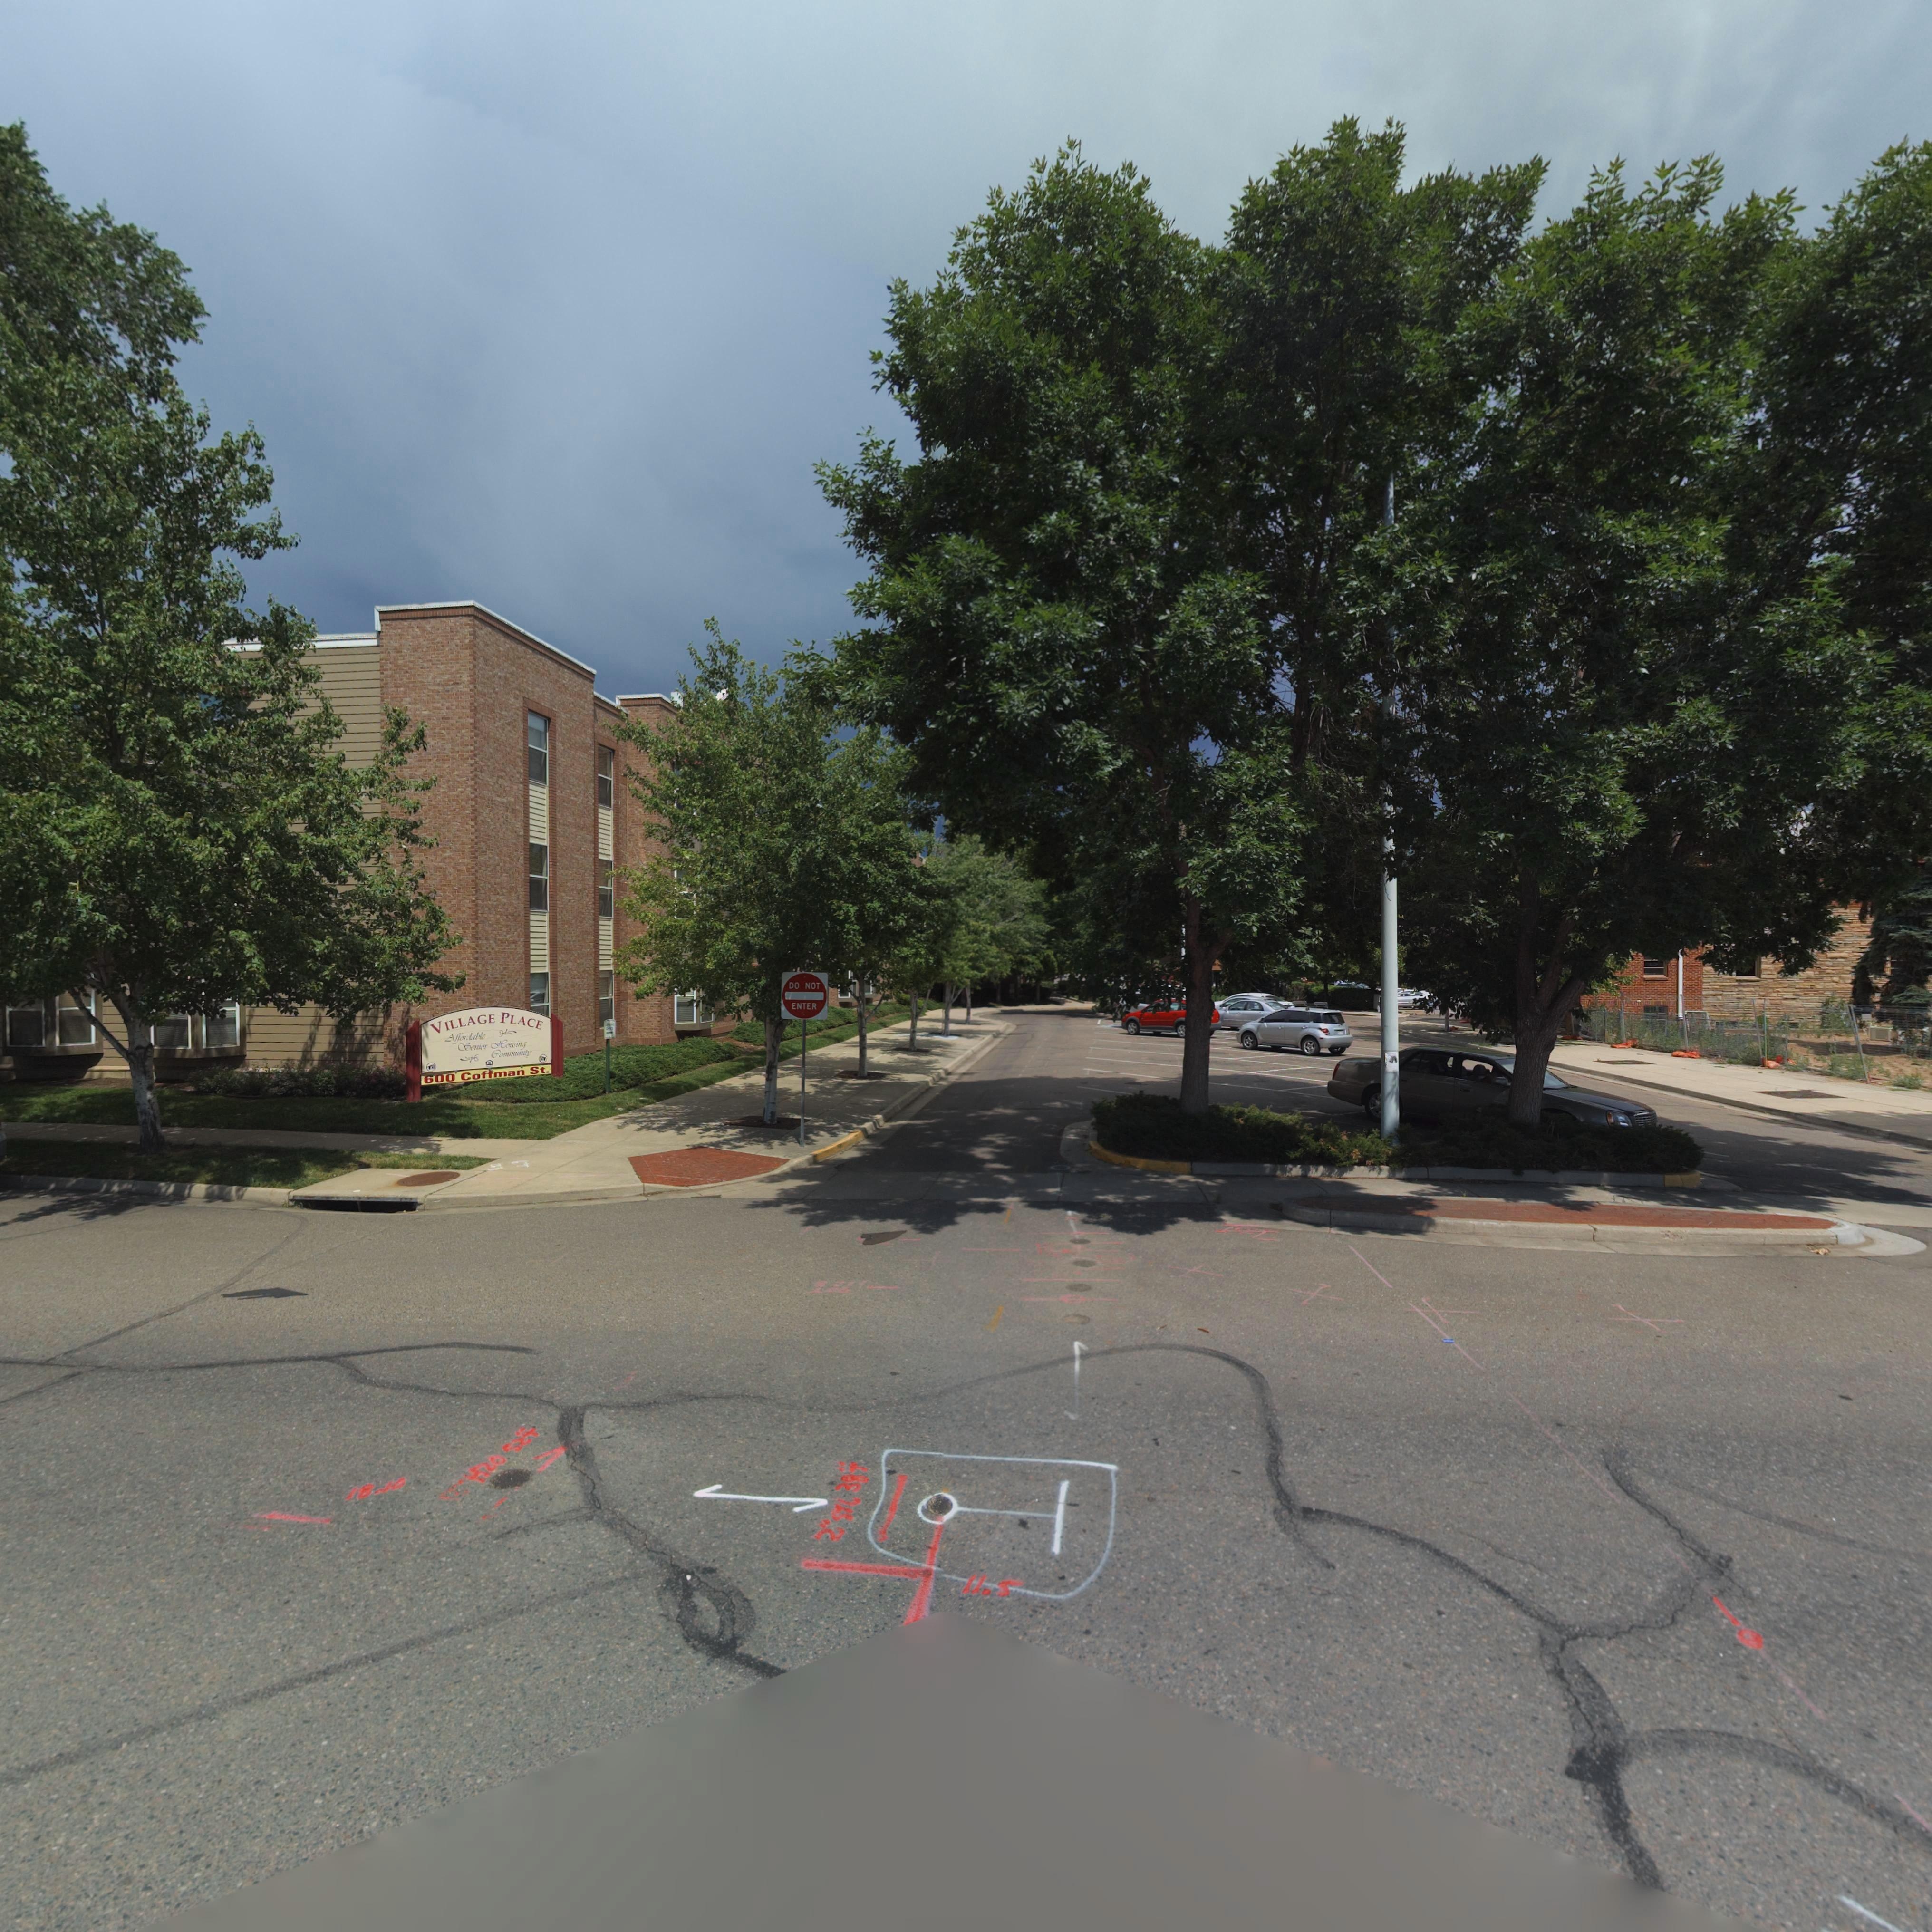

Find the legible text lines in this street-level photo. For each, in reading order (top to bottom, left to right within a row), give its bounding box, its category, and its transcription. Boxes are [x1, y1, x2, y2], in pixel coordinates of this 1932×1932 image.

[429, 1012, 543, 1034] BusinessName: VILLAGE PLACE
[424, 1073, 455, 1084] StreetNumber: 600
[460, 1066, 550, 1081] StreetName: Coffman St.